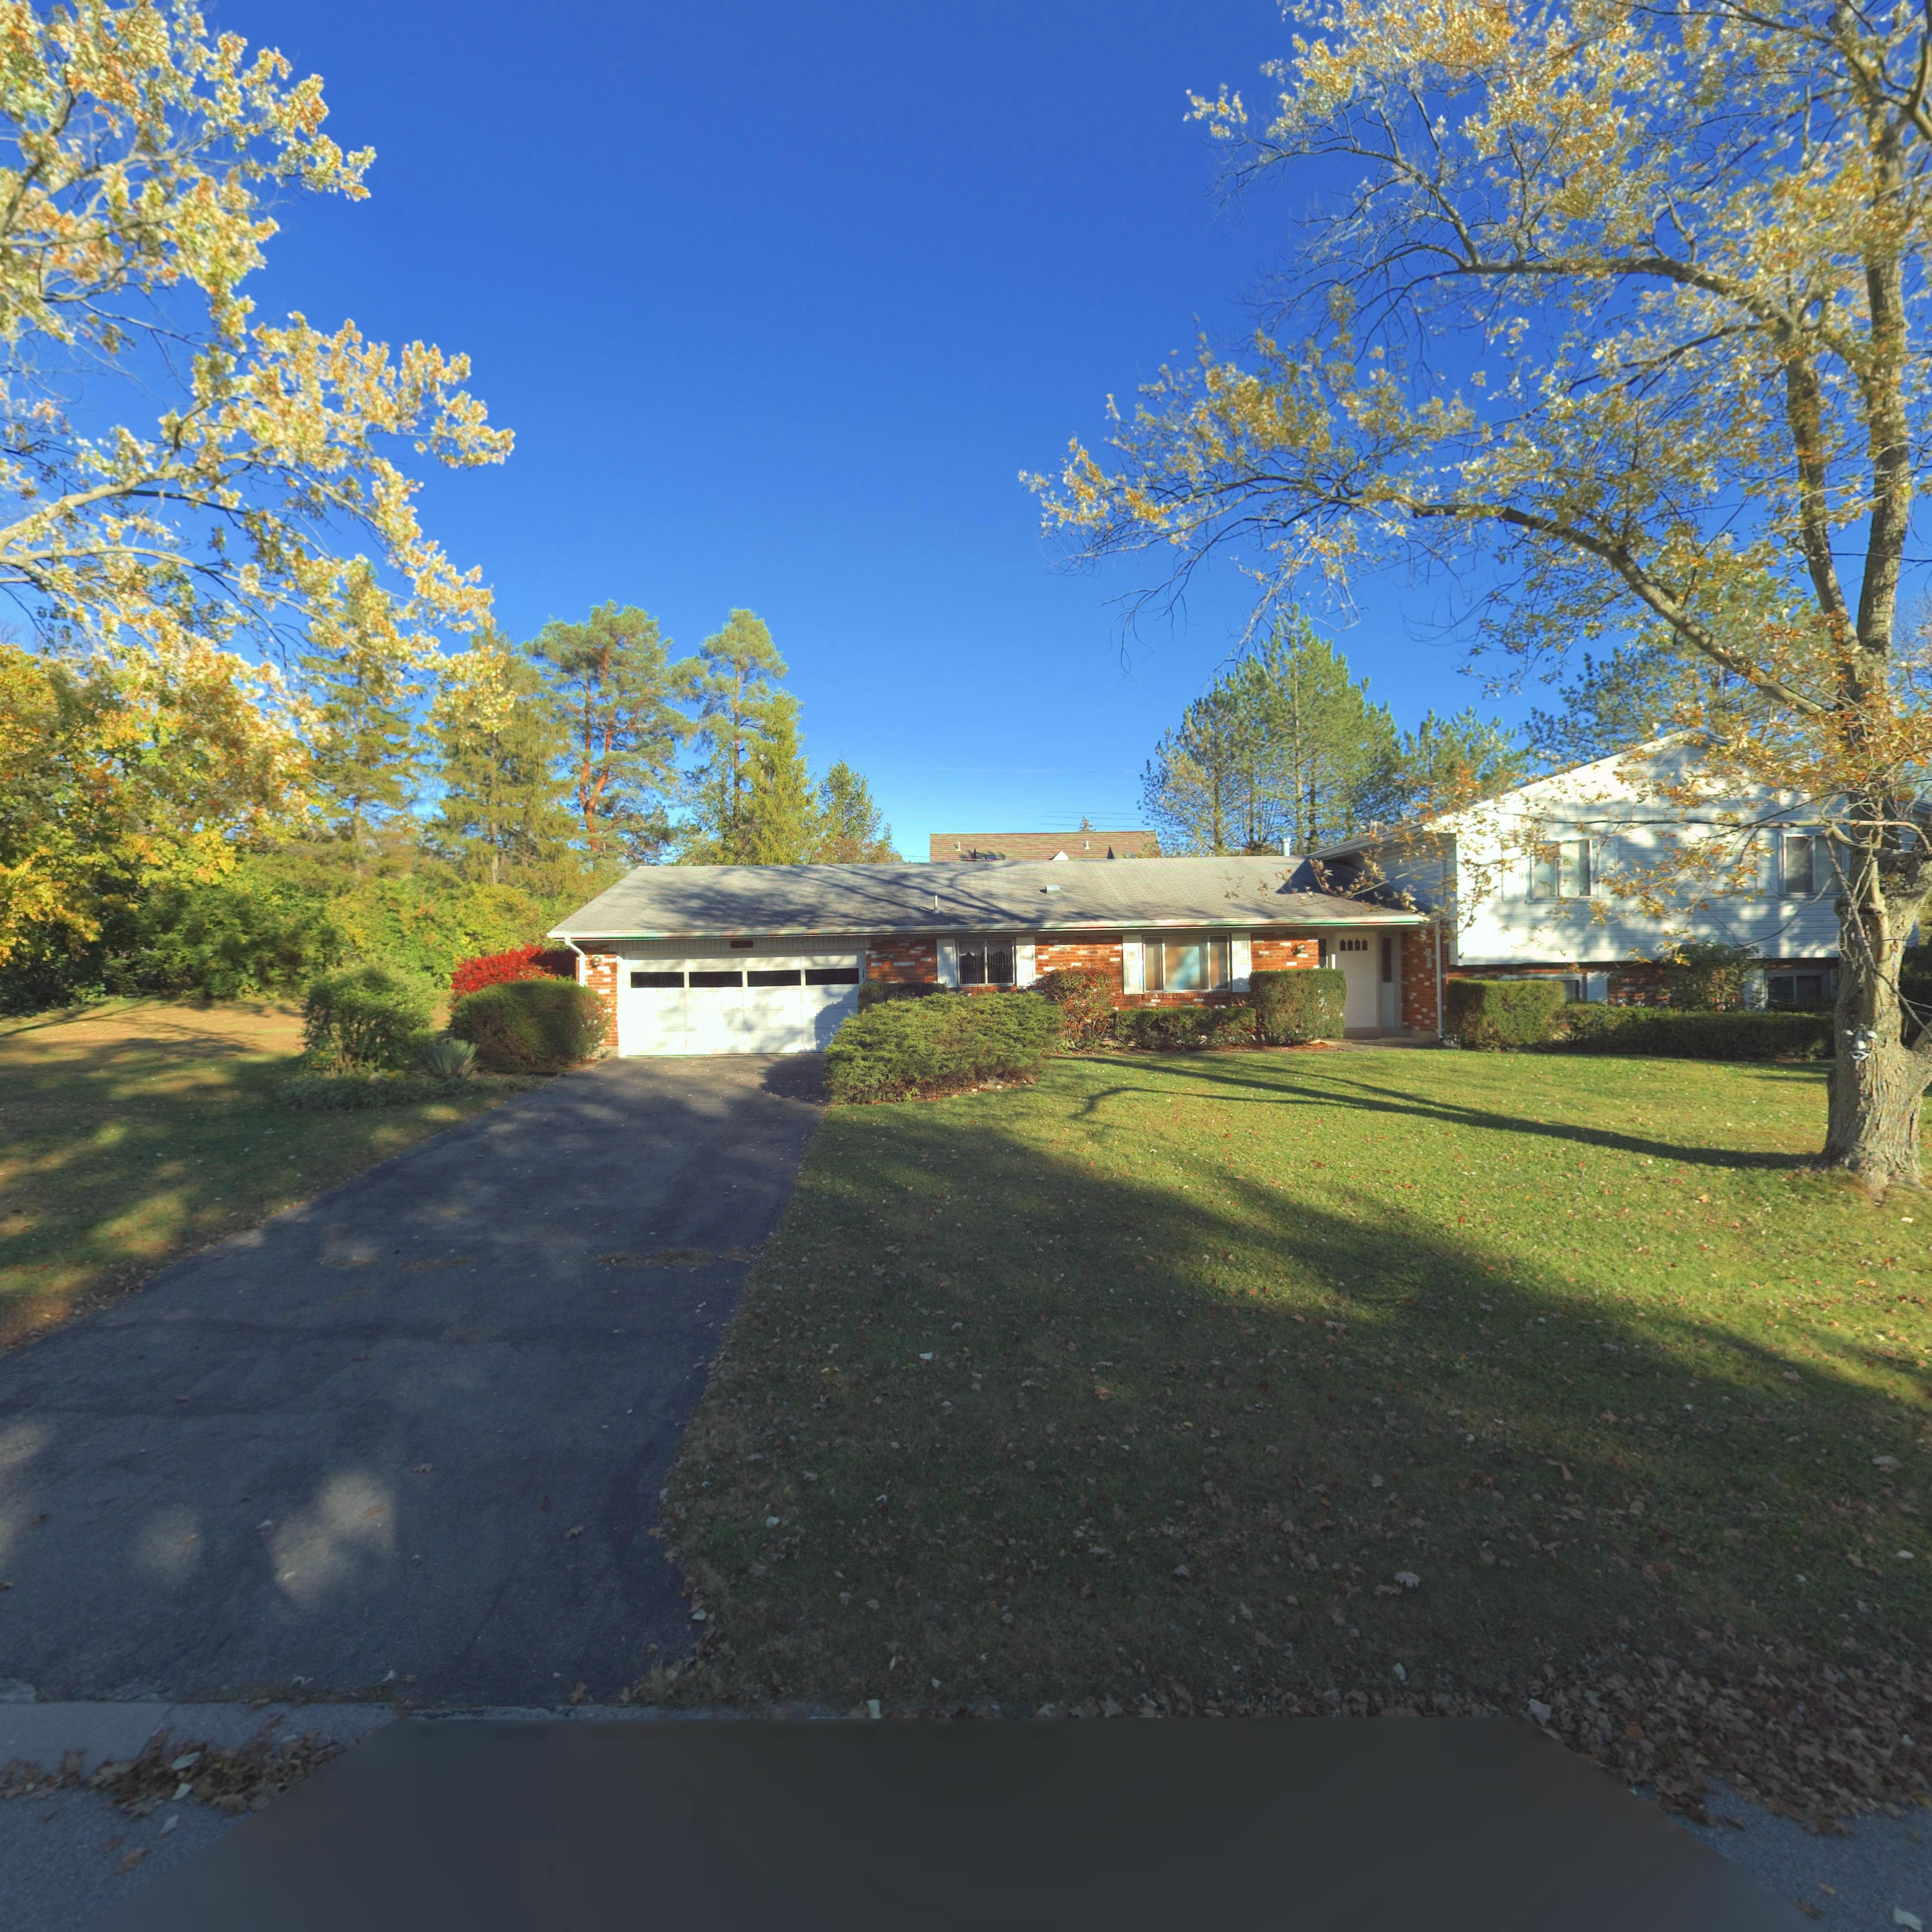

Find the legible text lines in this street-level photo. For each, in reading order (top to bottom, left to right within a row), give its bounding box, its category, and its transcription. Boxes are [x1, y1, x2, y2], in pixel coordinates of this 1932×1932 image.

[732, 940, 752, 948] StreetNumber: 5400